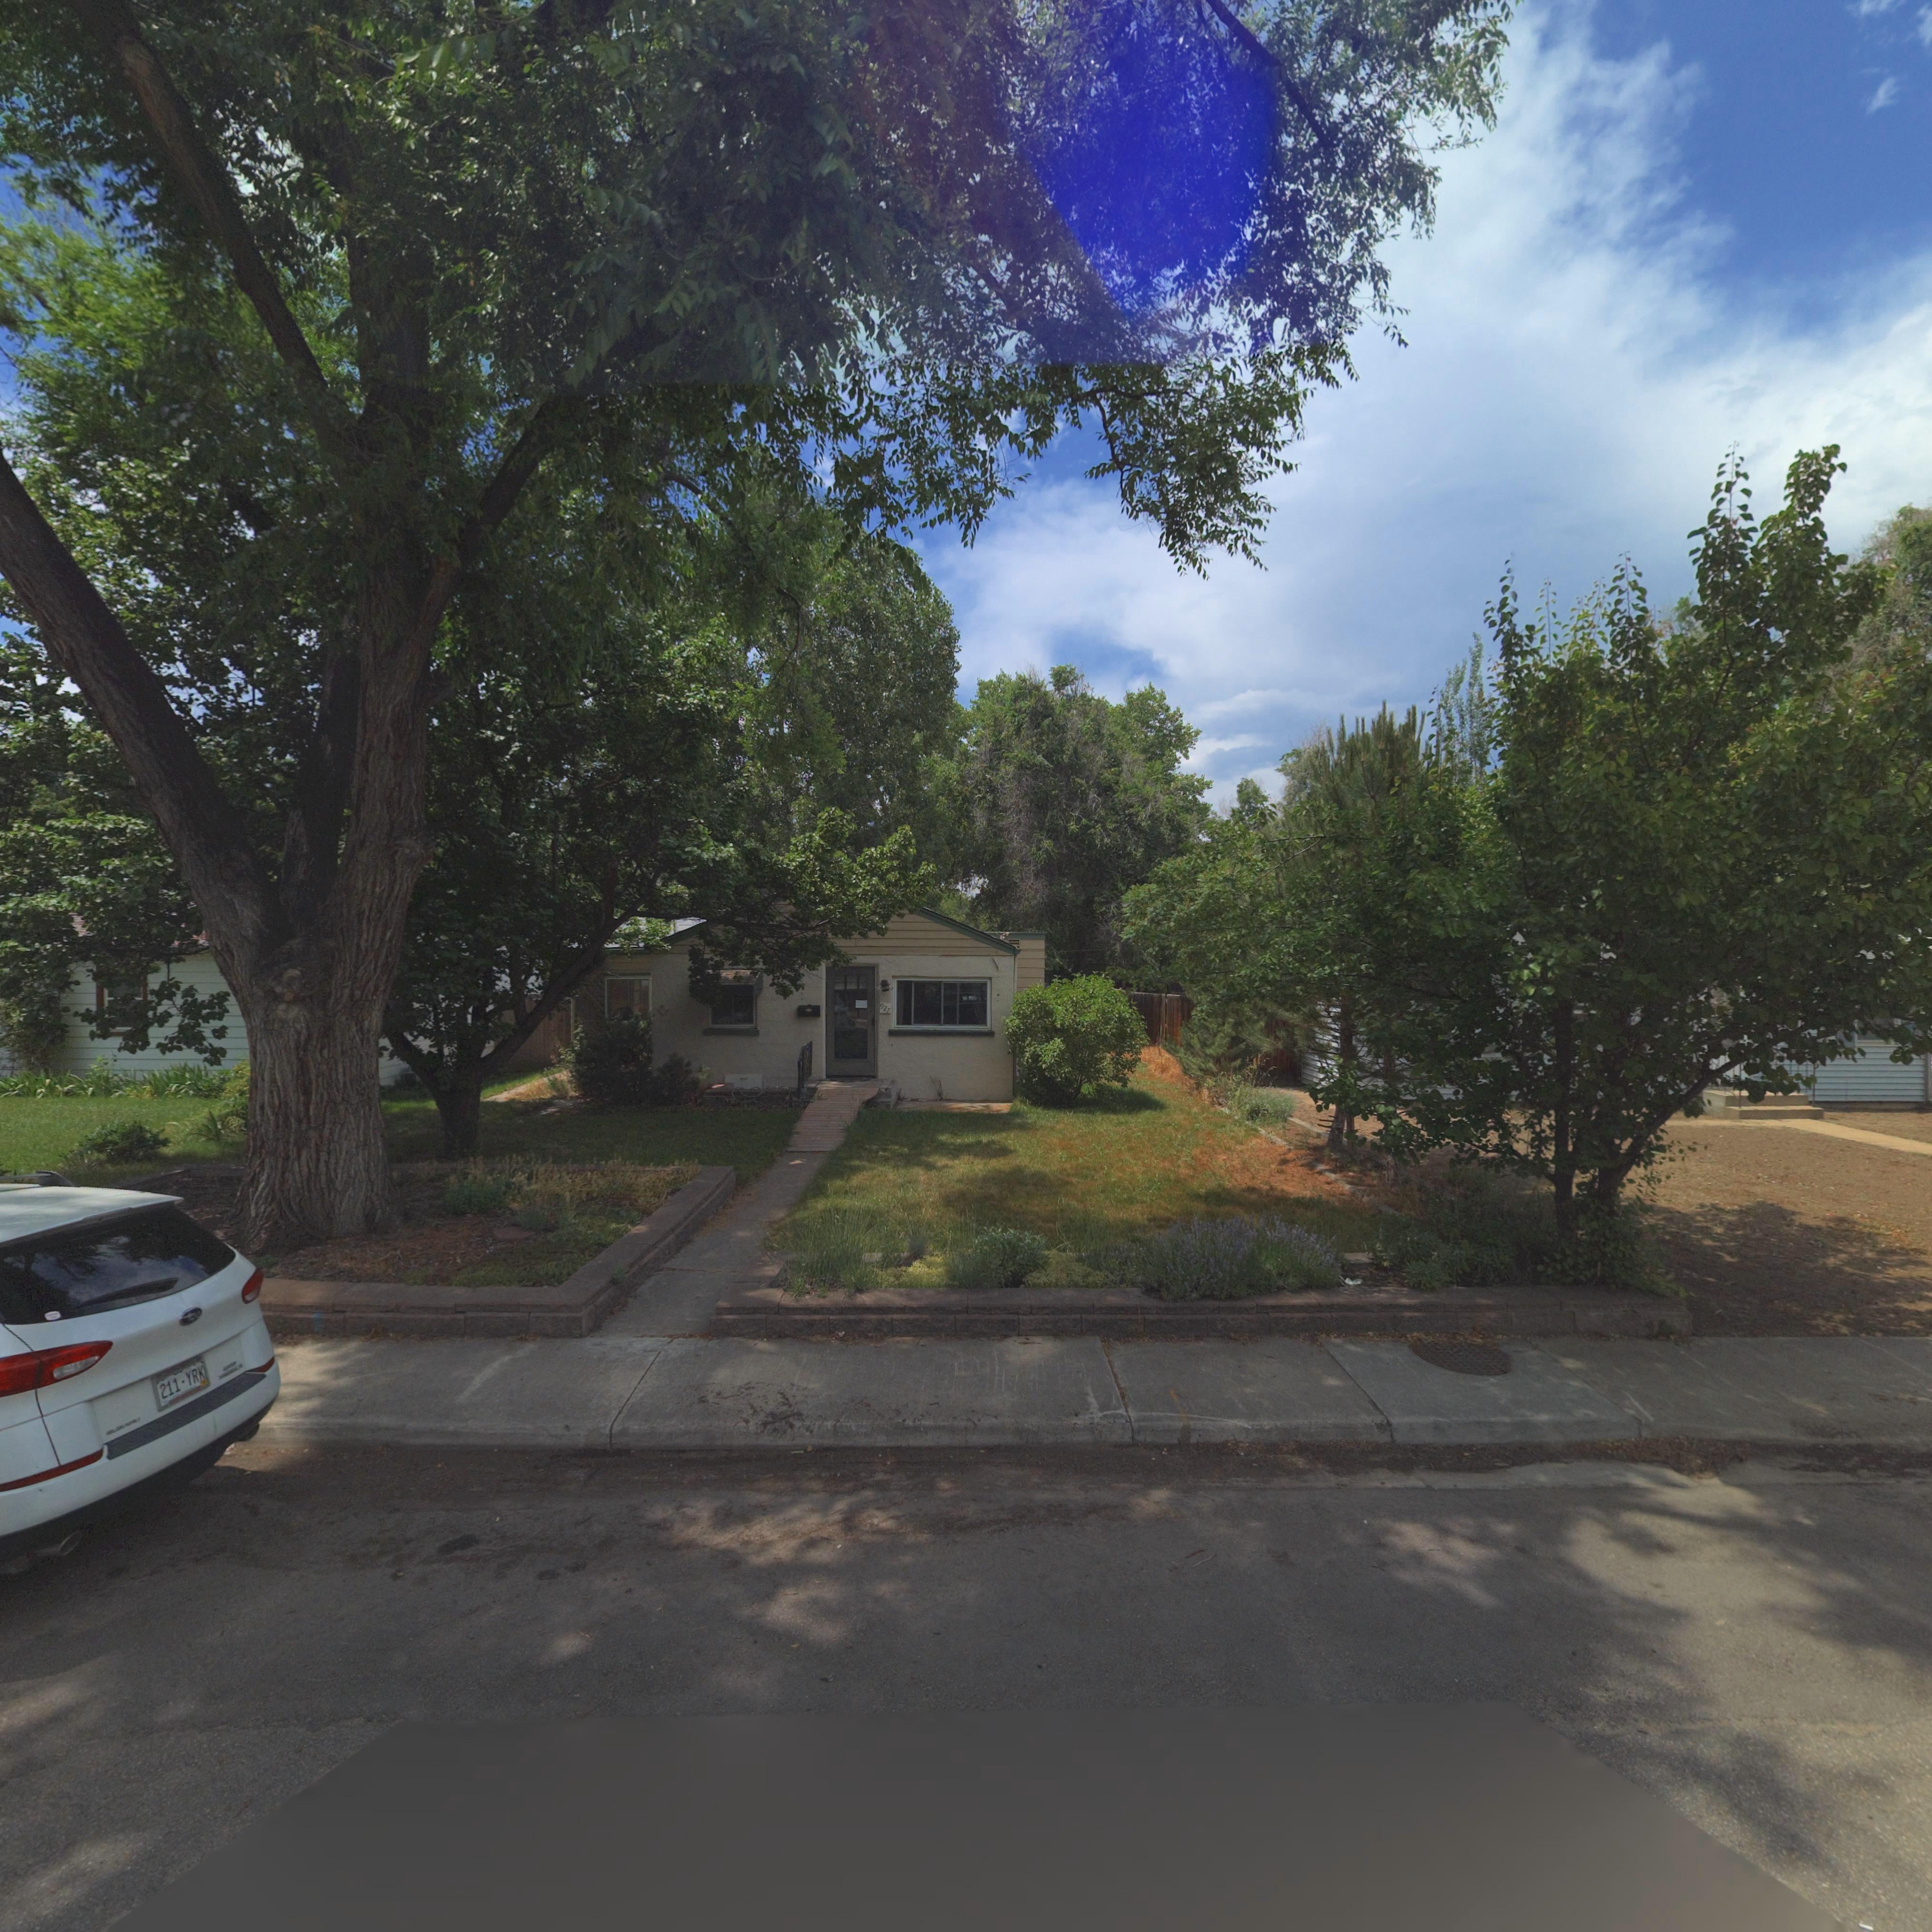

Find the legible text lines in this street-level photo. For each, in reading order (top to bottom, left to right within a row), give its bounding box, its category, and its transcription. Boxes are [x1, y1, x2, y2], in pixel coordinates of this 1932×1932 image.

[879, 1002, 890, 1014] StreetNumber: 927